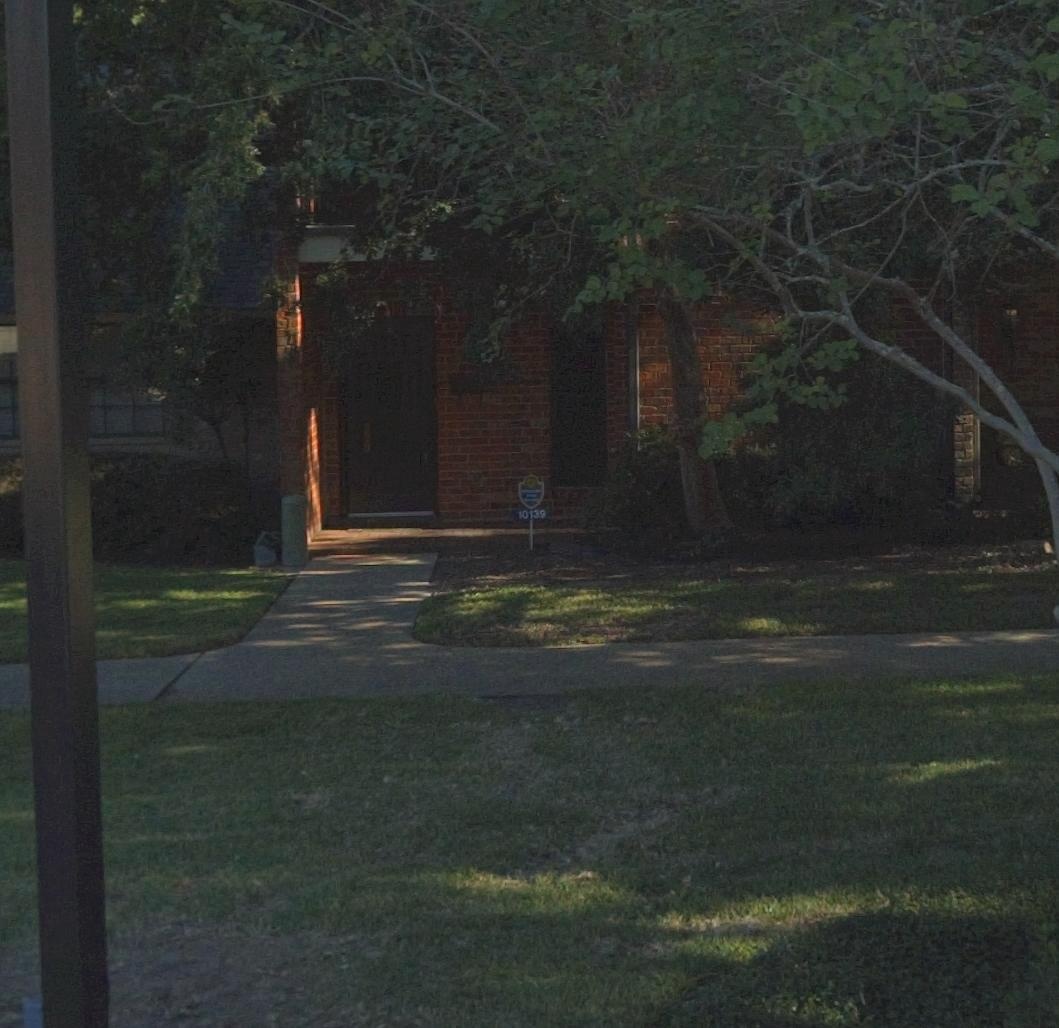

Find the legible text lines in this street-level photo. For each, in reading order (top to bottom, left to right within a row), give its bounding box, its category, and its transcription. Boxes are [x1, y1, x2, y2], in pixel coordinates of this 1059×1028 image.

[516, 508, 547, 521] StreetNumber: 10139